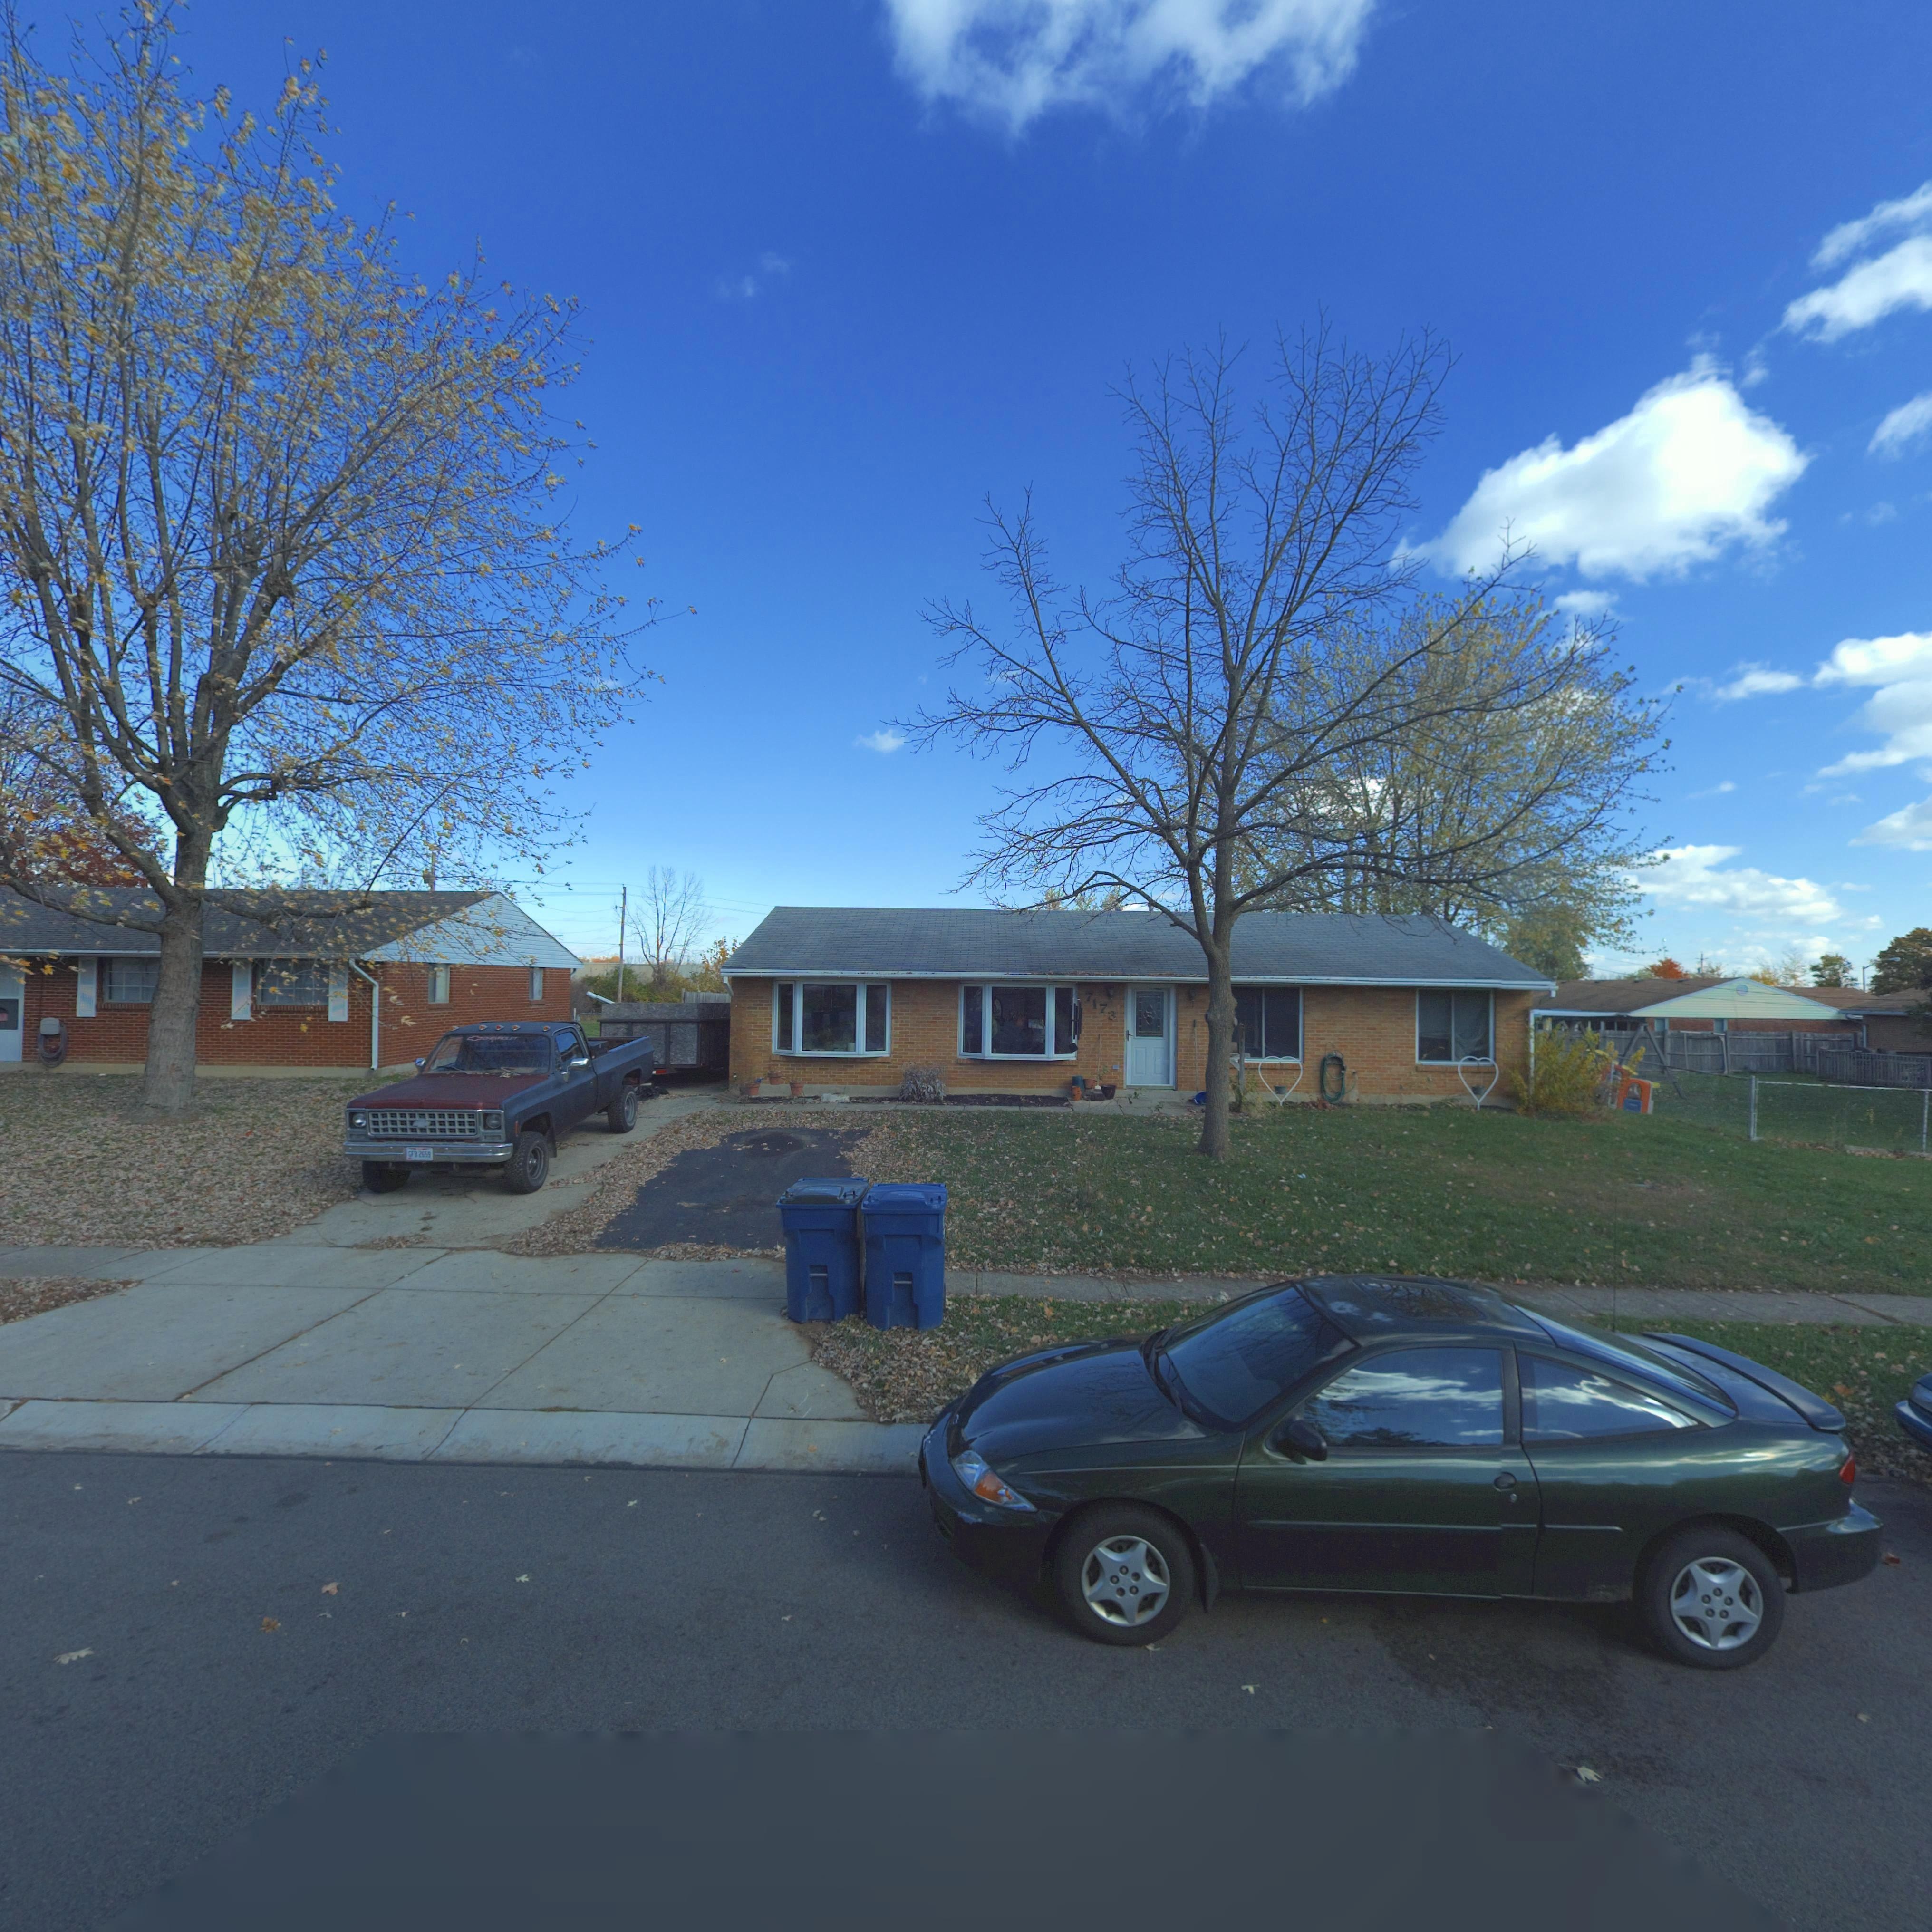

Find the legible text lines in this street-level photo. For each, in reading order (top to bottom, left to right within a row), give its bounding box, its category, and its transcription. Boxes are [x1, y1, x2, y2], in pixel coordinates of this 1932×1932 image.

[1084, 991, 1118, 1022] StreetNumber: 7173